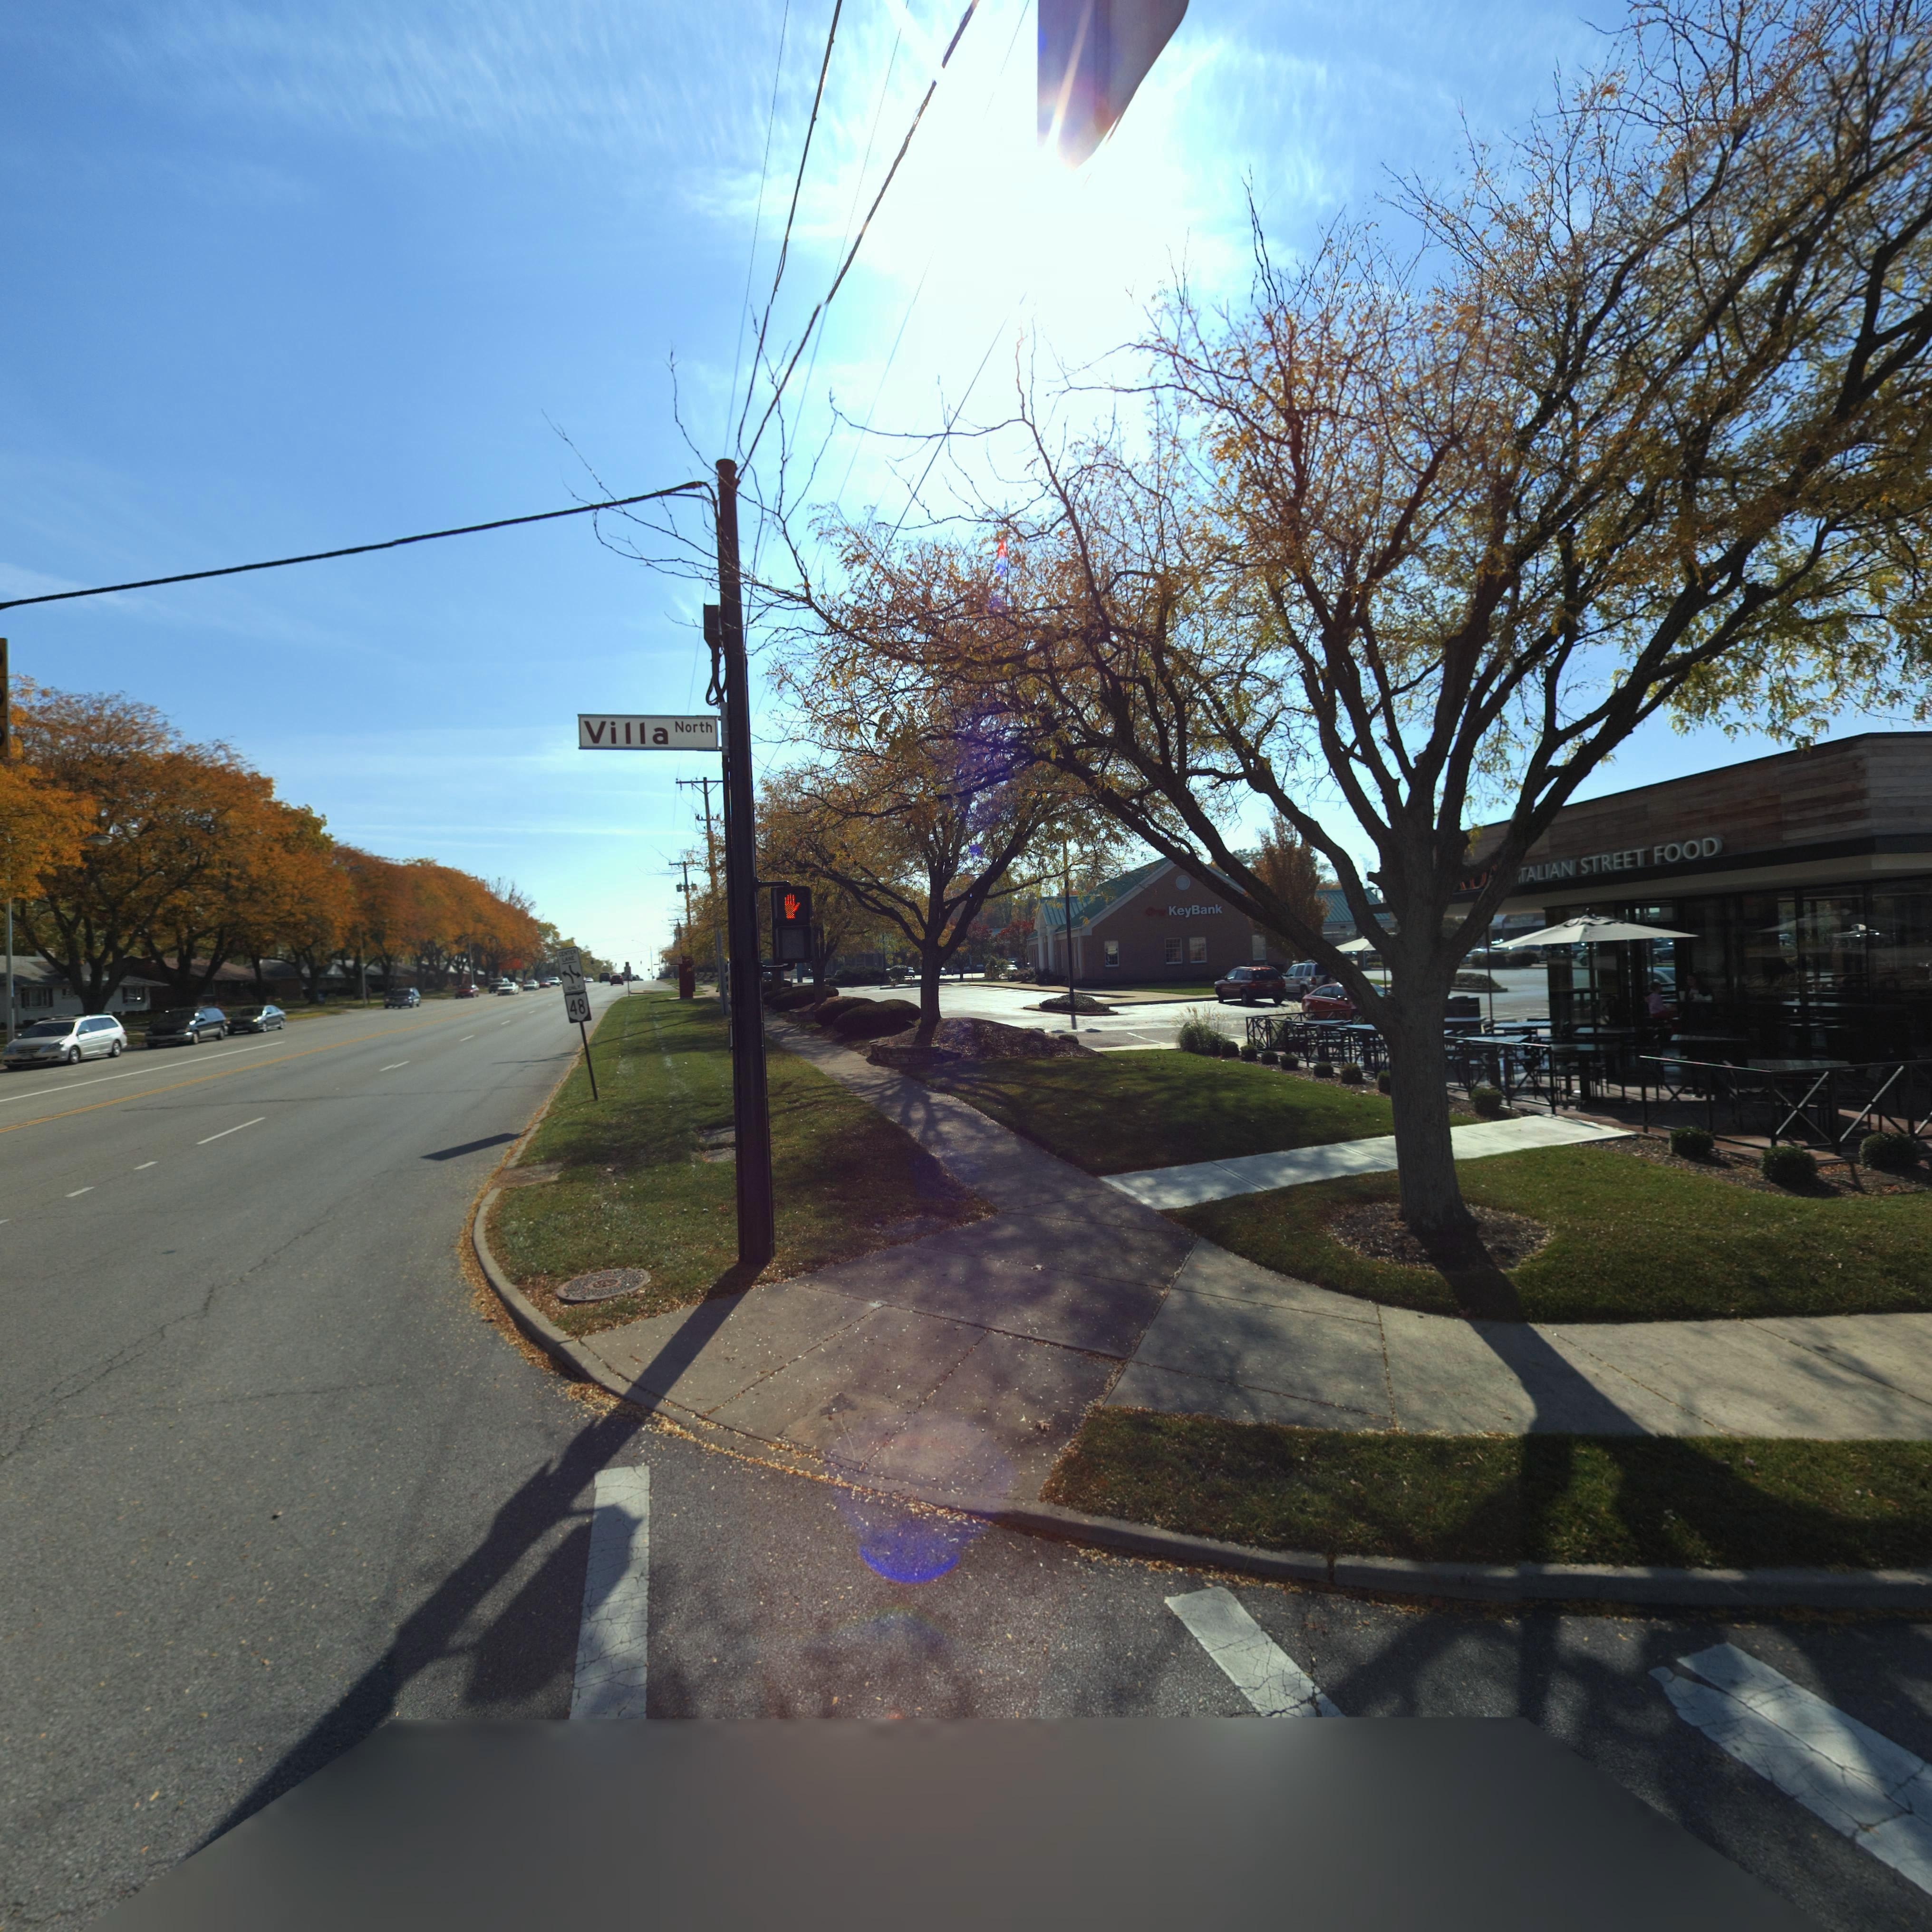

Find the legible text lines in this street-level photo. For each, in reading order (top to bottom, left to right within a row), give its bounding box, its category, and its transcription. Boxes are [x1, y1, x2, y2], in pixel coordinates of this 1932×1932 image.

[580, 720, 714, 746] StreetName: Villa North
[1525, 839, 1701, 884] BusinessName: ALIAN STREET FOO
[1168, 903, 1224, 919] BusinessName: KeyBank